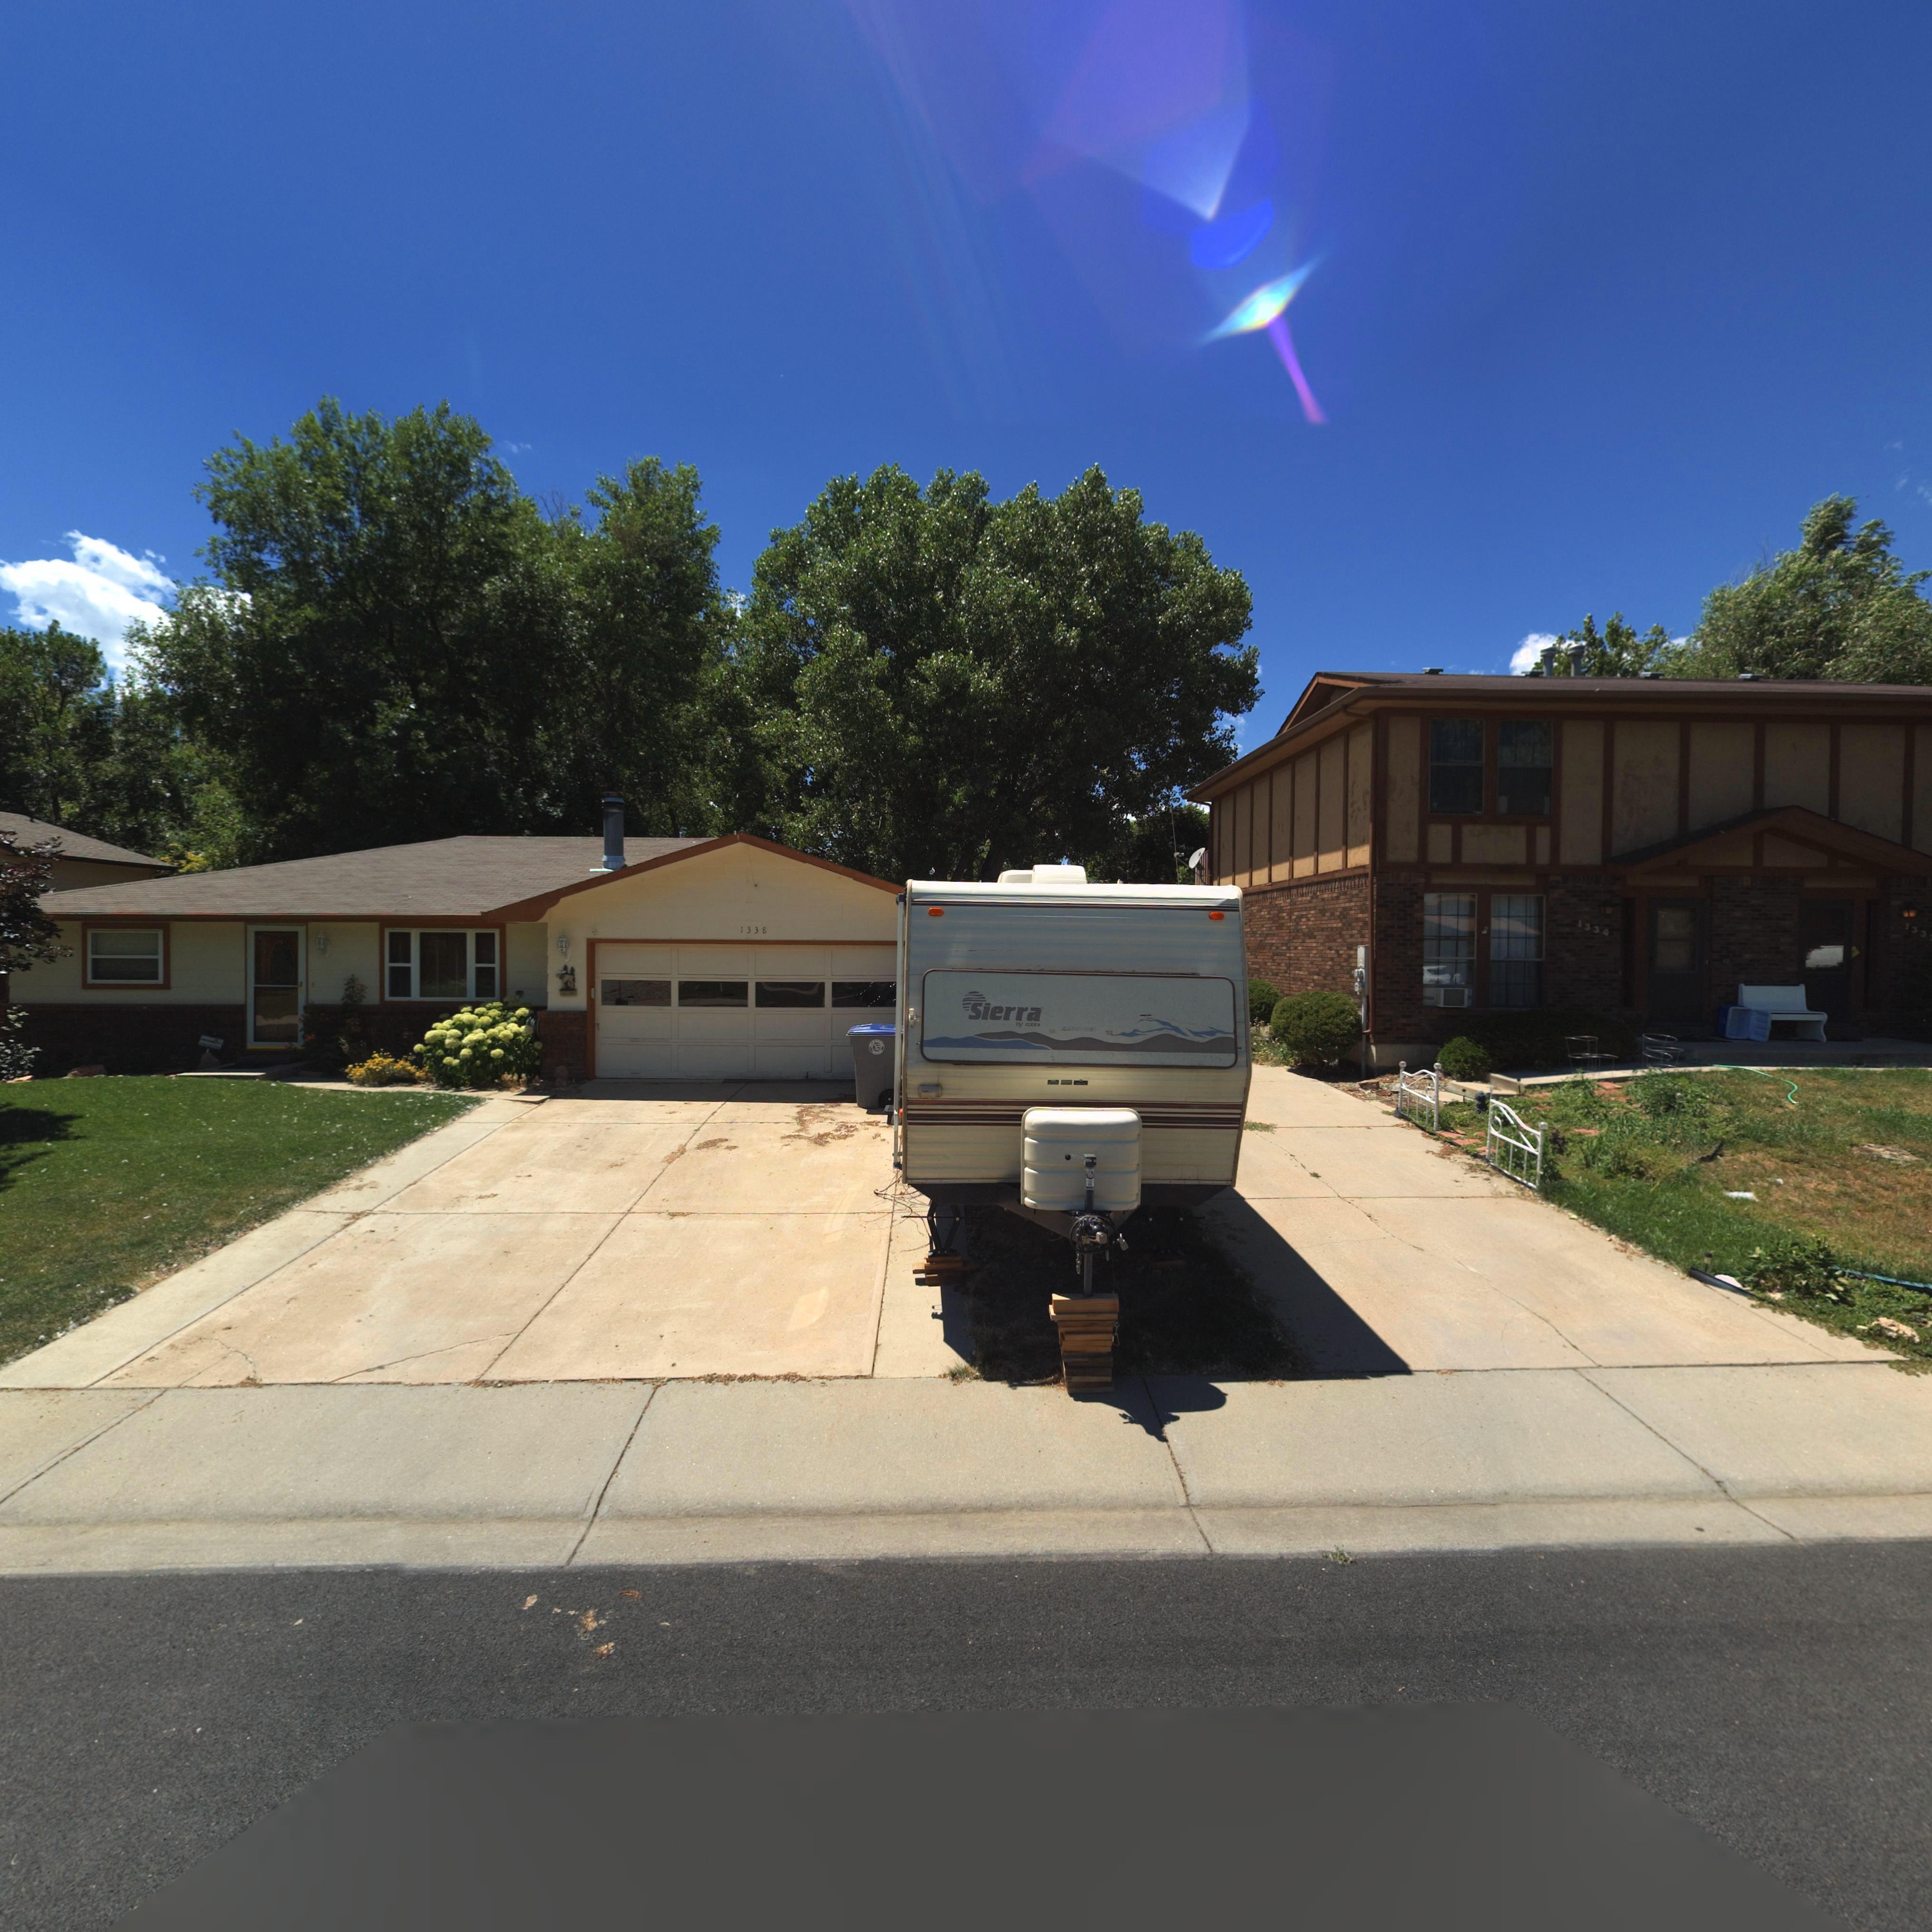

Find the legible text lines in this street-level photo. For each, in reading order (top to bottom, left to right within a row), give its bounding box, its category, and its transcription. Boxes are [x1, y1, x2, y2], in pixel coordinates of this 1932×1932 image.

[740, 926, 767, 934] StreetNumber: 1338
[1577, 919, 1610, 937] StreetNumber: 1334
[1905, 922, 1927, 939] StreetNumber: 133